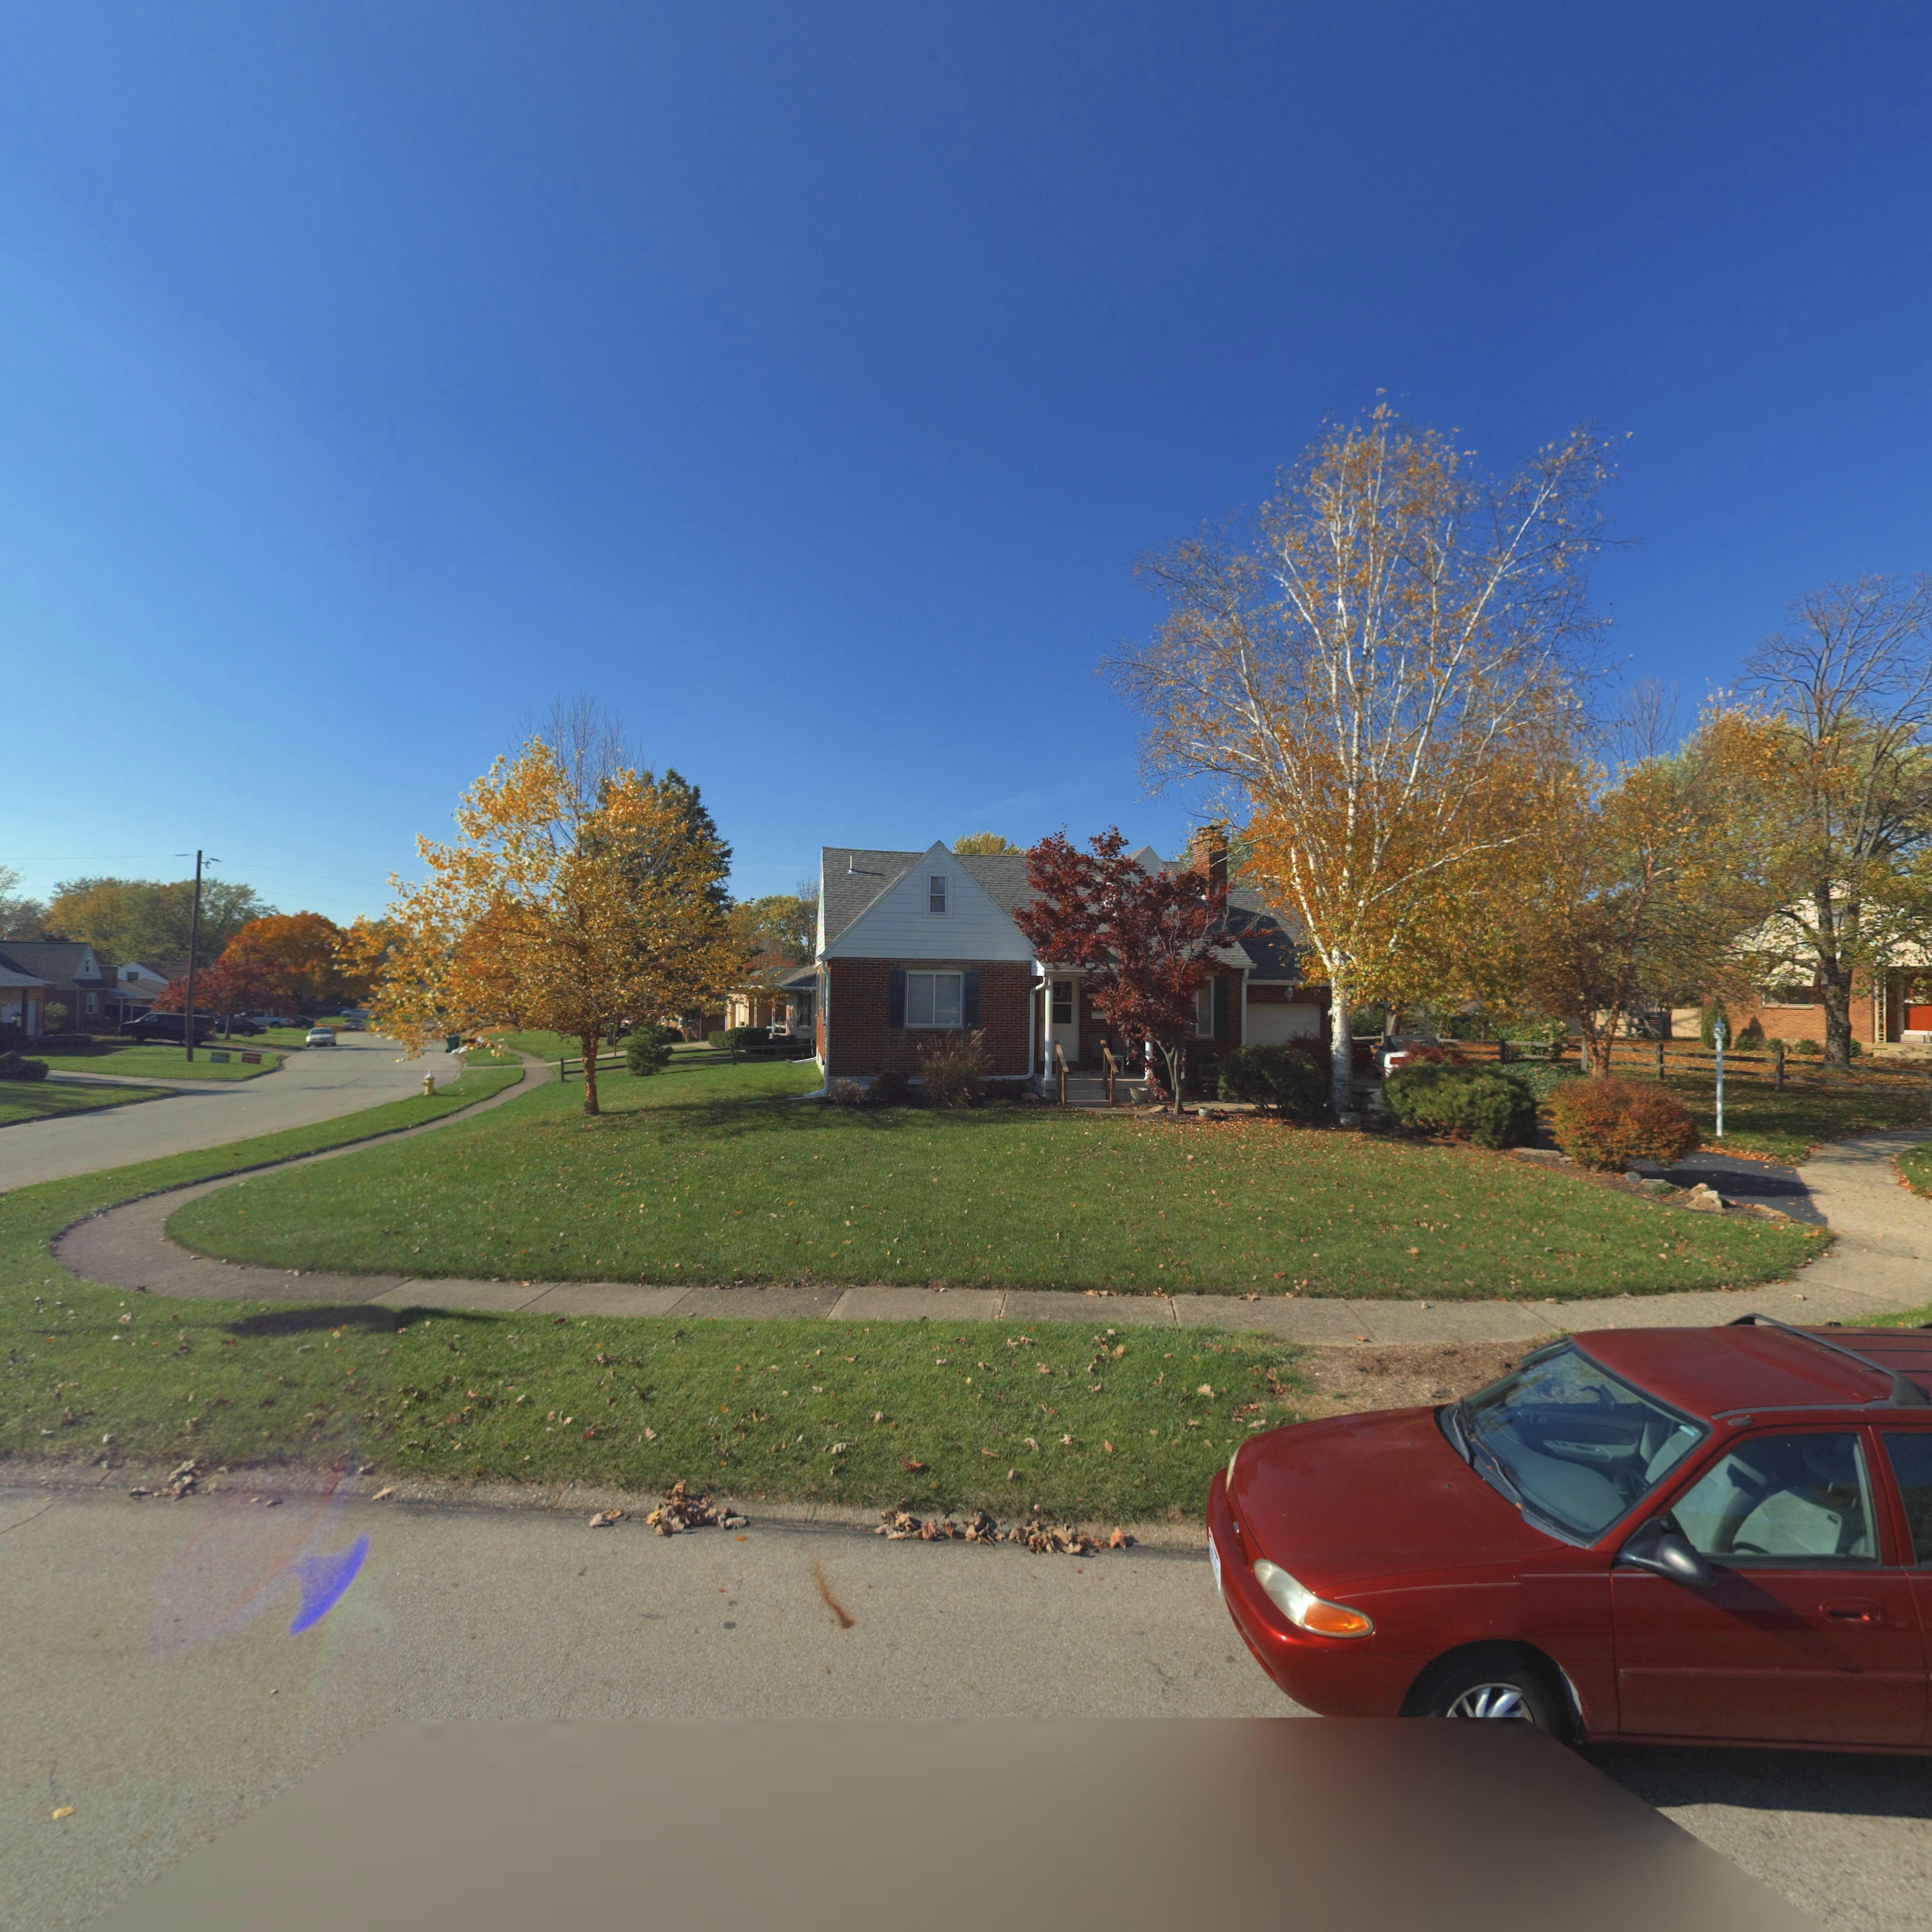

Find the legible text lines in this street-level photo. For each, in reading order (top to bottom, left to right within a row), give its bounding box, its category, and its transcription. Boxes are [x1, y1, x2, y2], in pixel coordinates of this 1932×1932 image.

[1090, 993, 1104, 998] StreetNumber: 7**